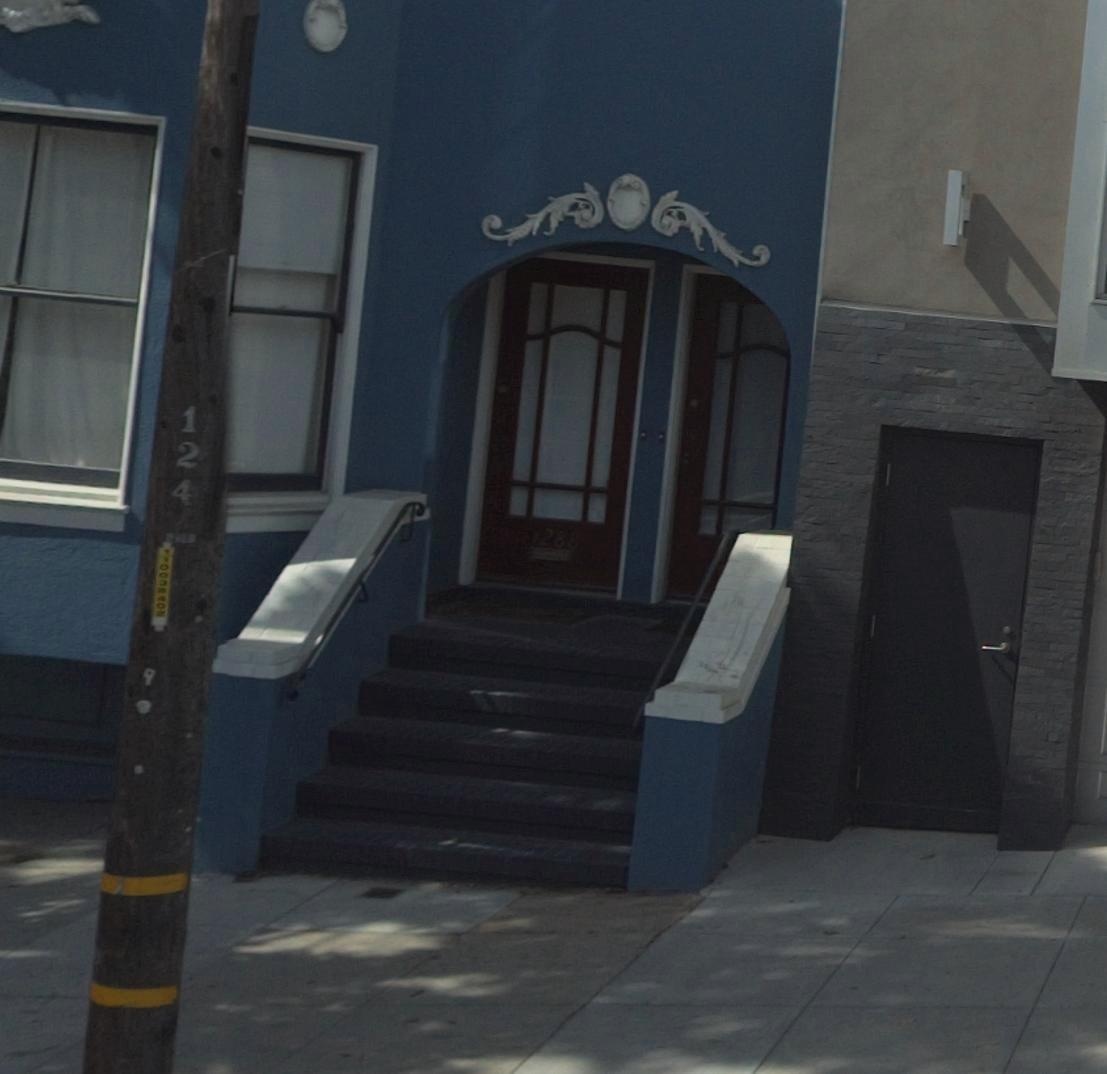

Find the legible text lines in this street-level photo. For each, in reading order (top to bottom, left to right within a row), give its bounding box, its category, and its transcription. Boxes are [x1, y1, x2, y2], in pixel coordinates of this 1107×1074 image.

[167, 402, 204, 507] None: 124
[529, 526, 582, 550] StreetNumber: 1288
[153, 547, 173, 618] None: 11003402